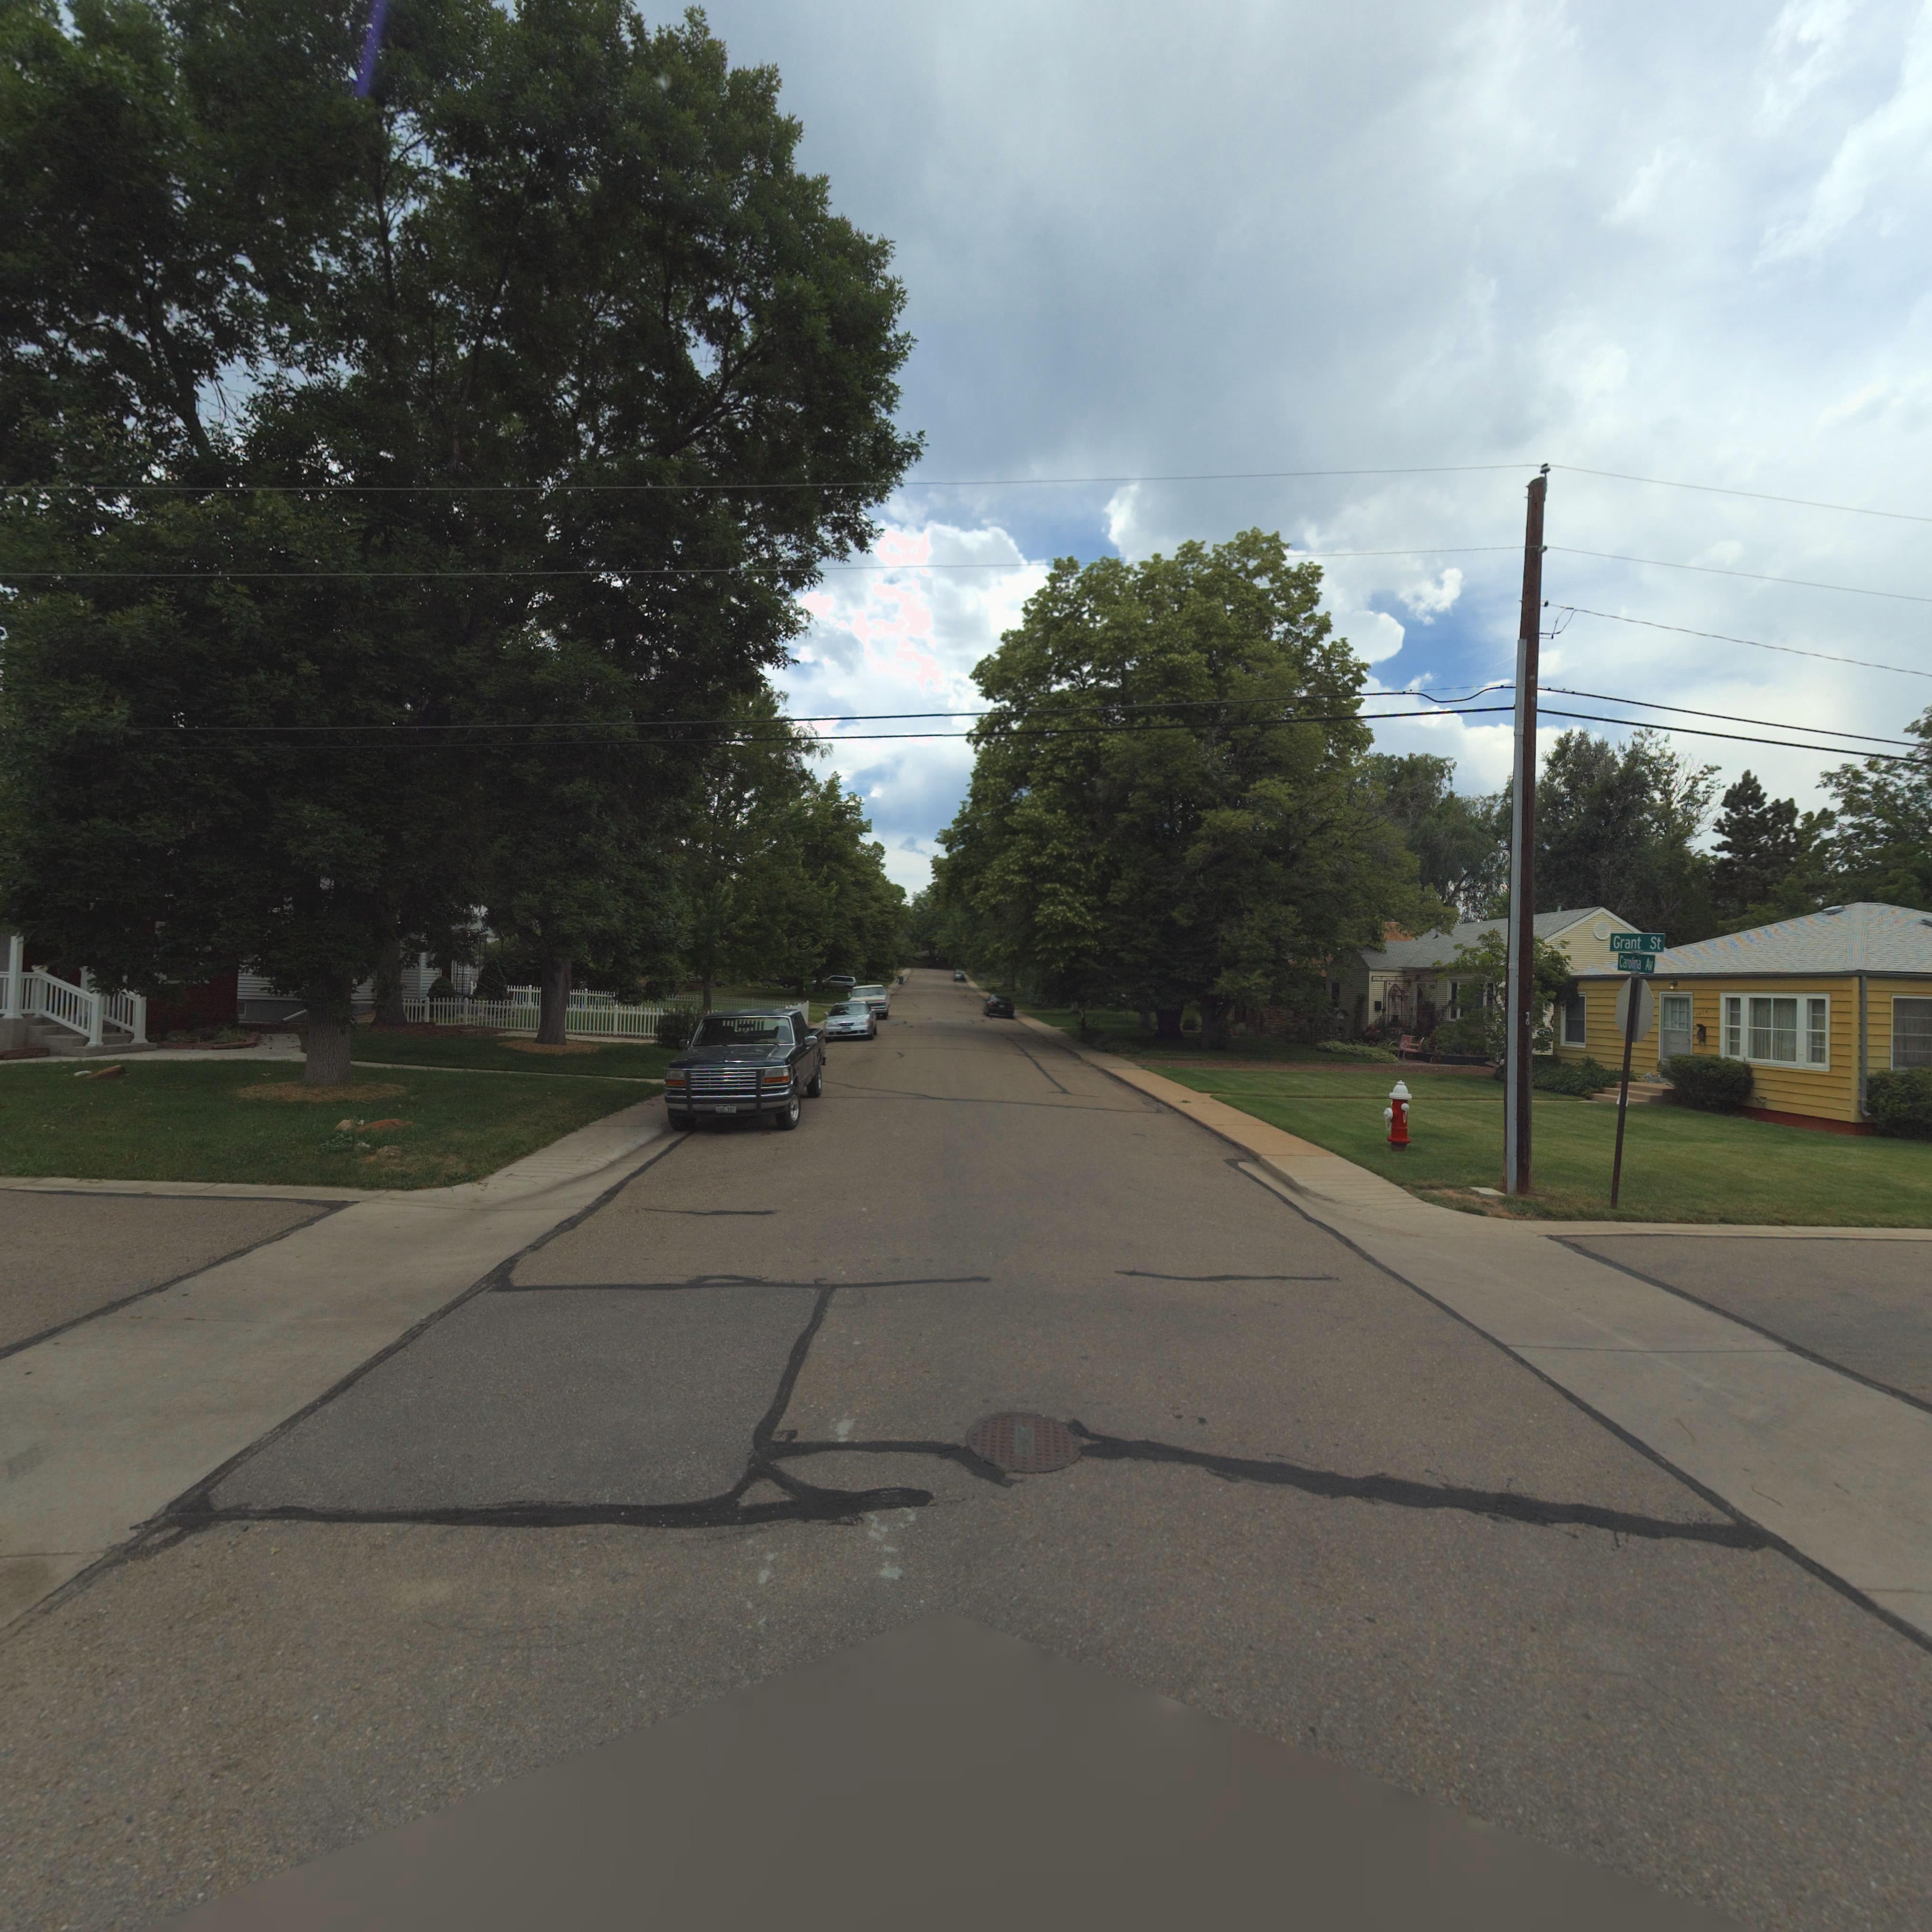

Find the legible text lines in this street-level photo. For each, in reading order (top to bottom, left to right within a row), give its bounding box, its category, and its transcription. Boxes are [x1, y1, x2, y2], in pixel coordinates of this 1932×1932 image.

[1613, 934, 1661, 949] StreetName: Grant St
[1619, 955, 1653, 971] StreetName: Carolina Av
[1694, 1008, 1709, 1017] StreetNumber: 1***